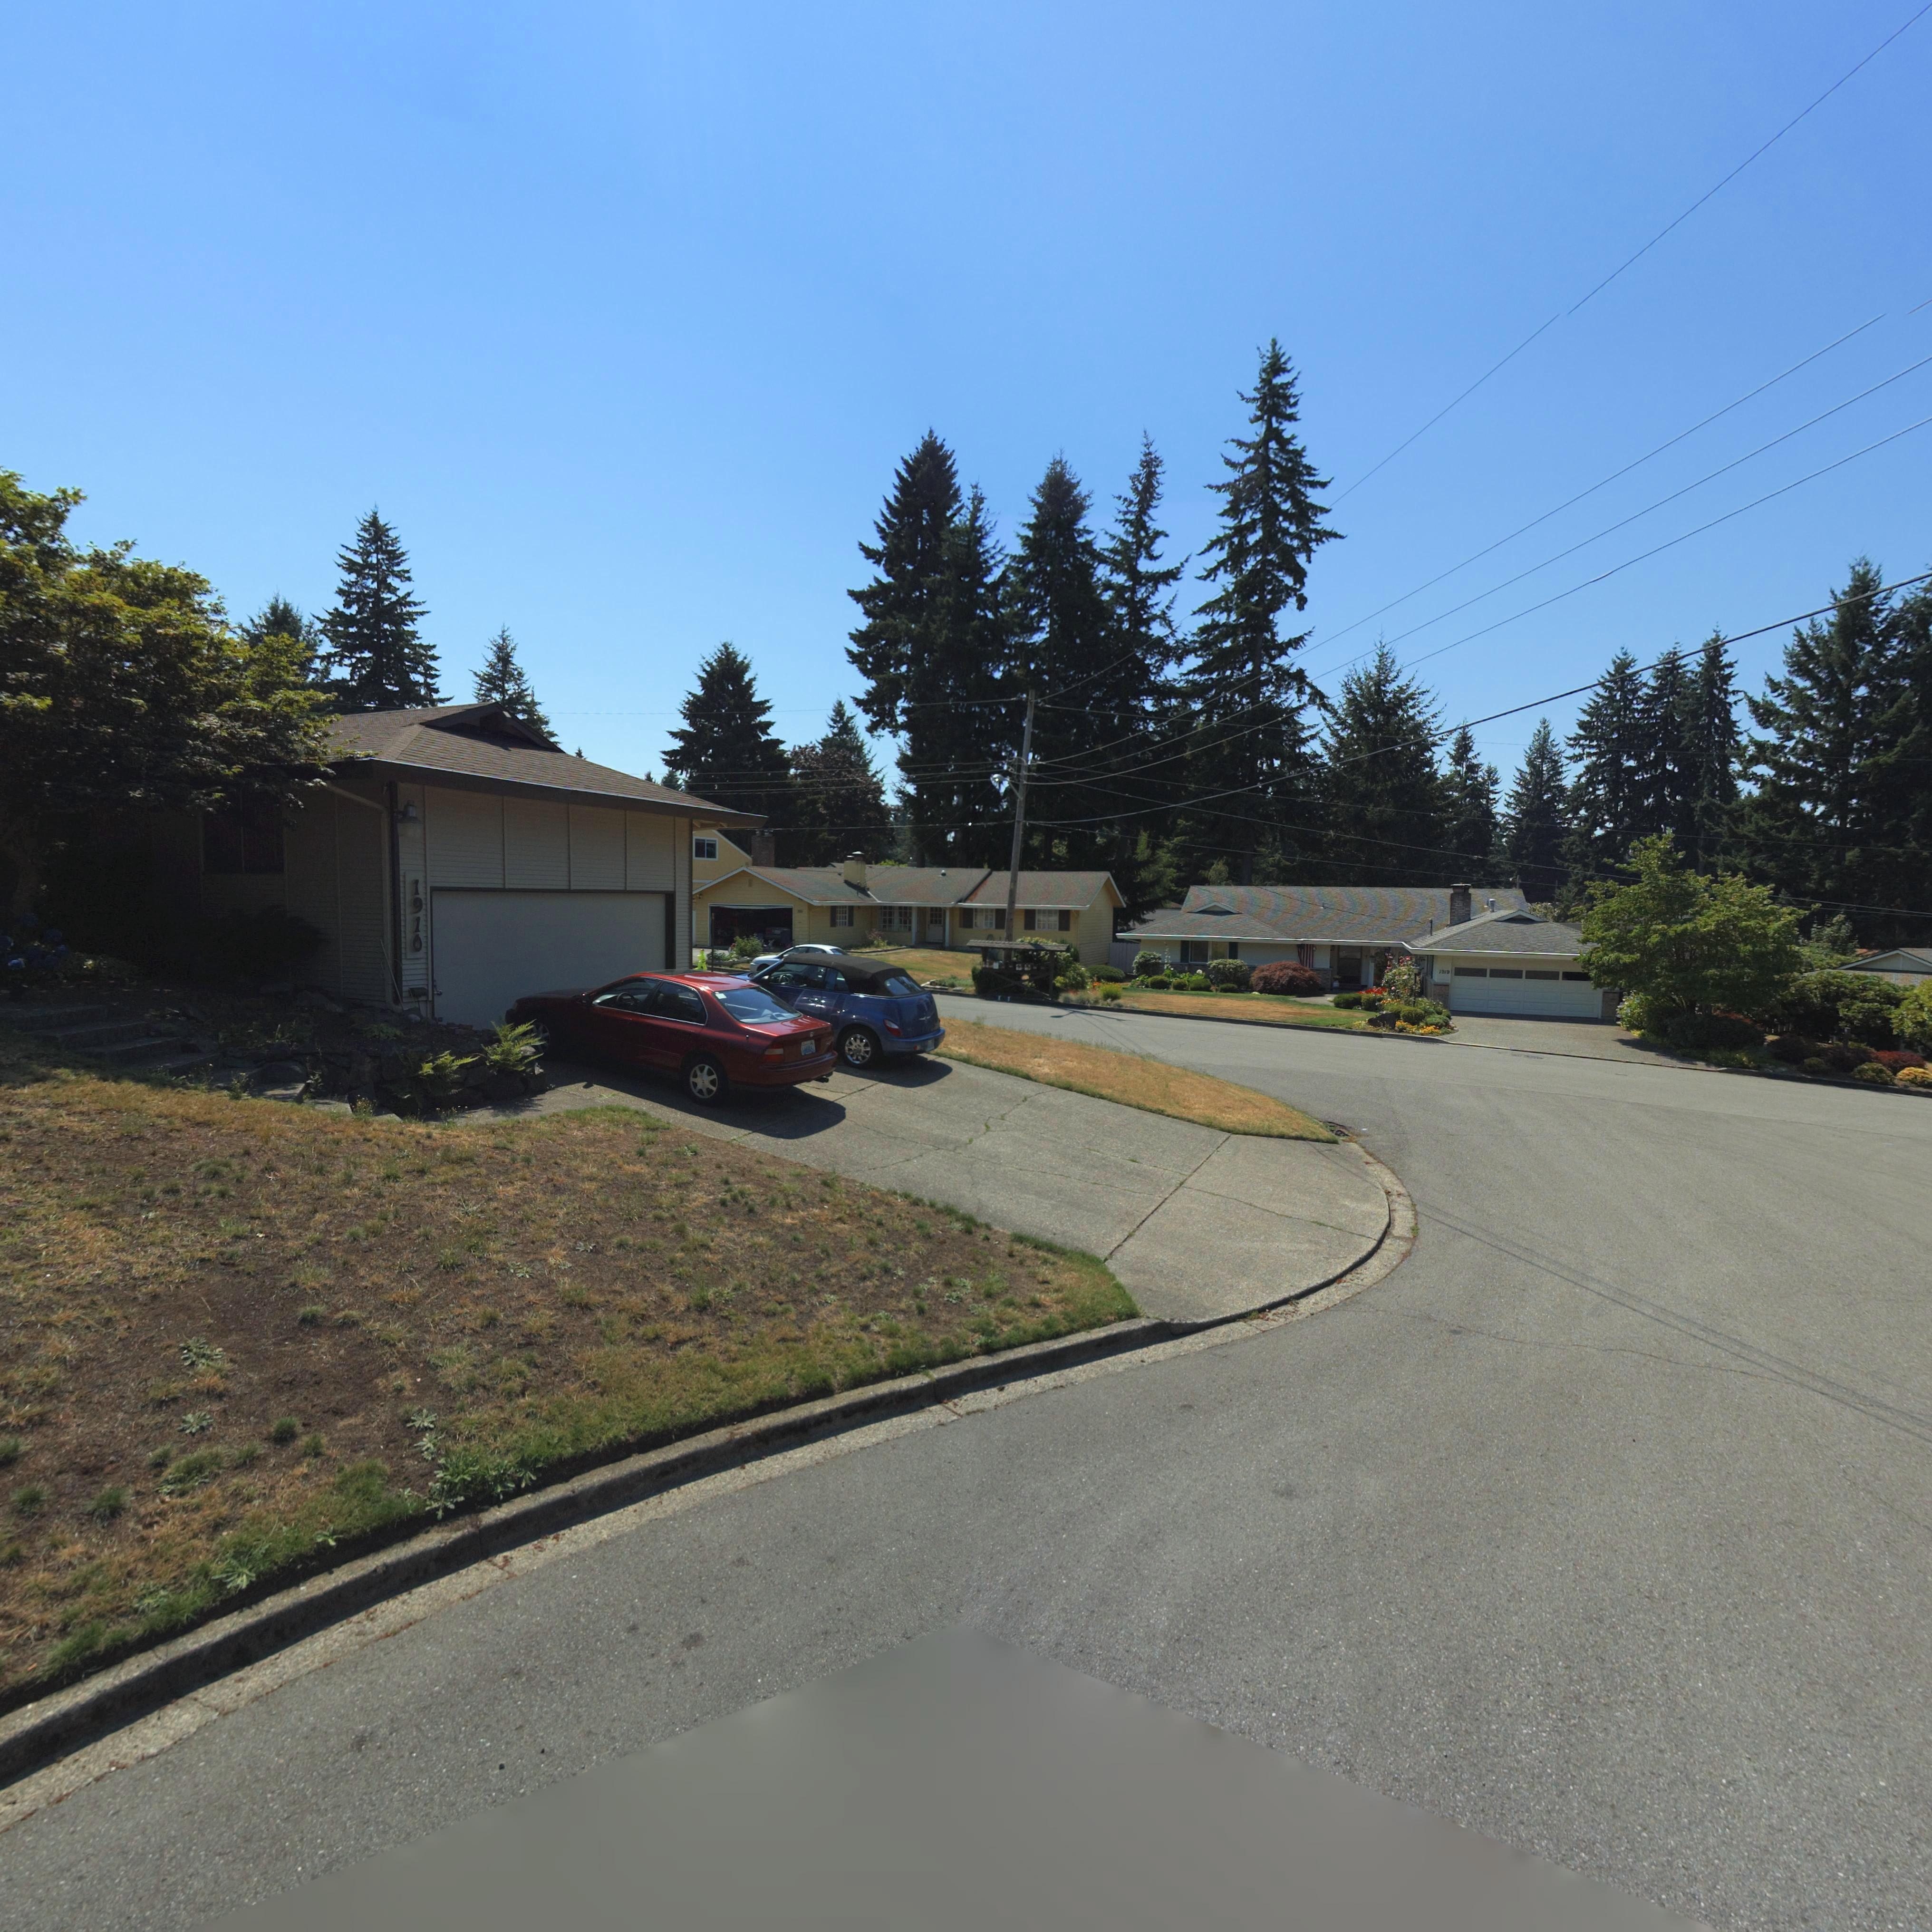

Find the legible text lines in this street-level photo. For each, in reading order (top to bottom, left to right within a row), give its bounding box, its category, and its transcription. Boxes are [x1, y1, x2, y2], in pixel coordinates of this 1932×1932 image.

[412, 877, 423, 953] StreetNumber: 1910